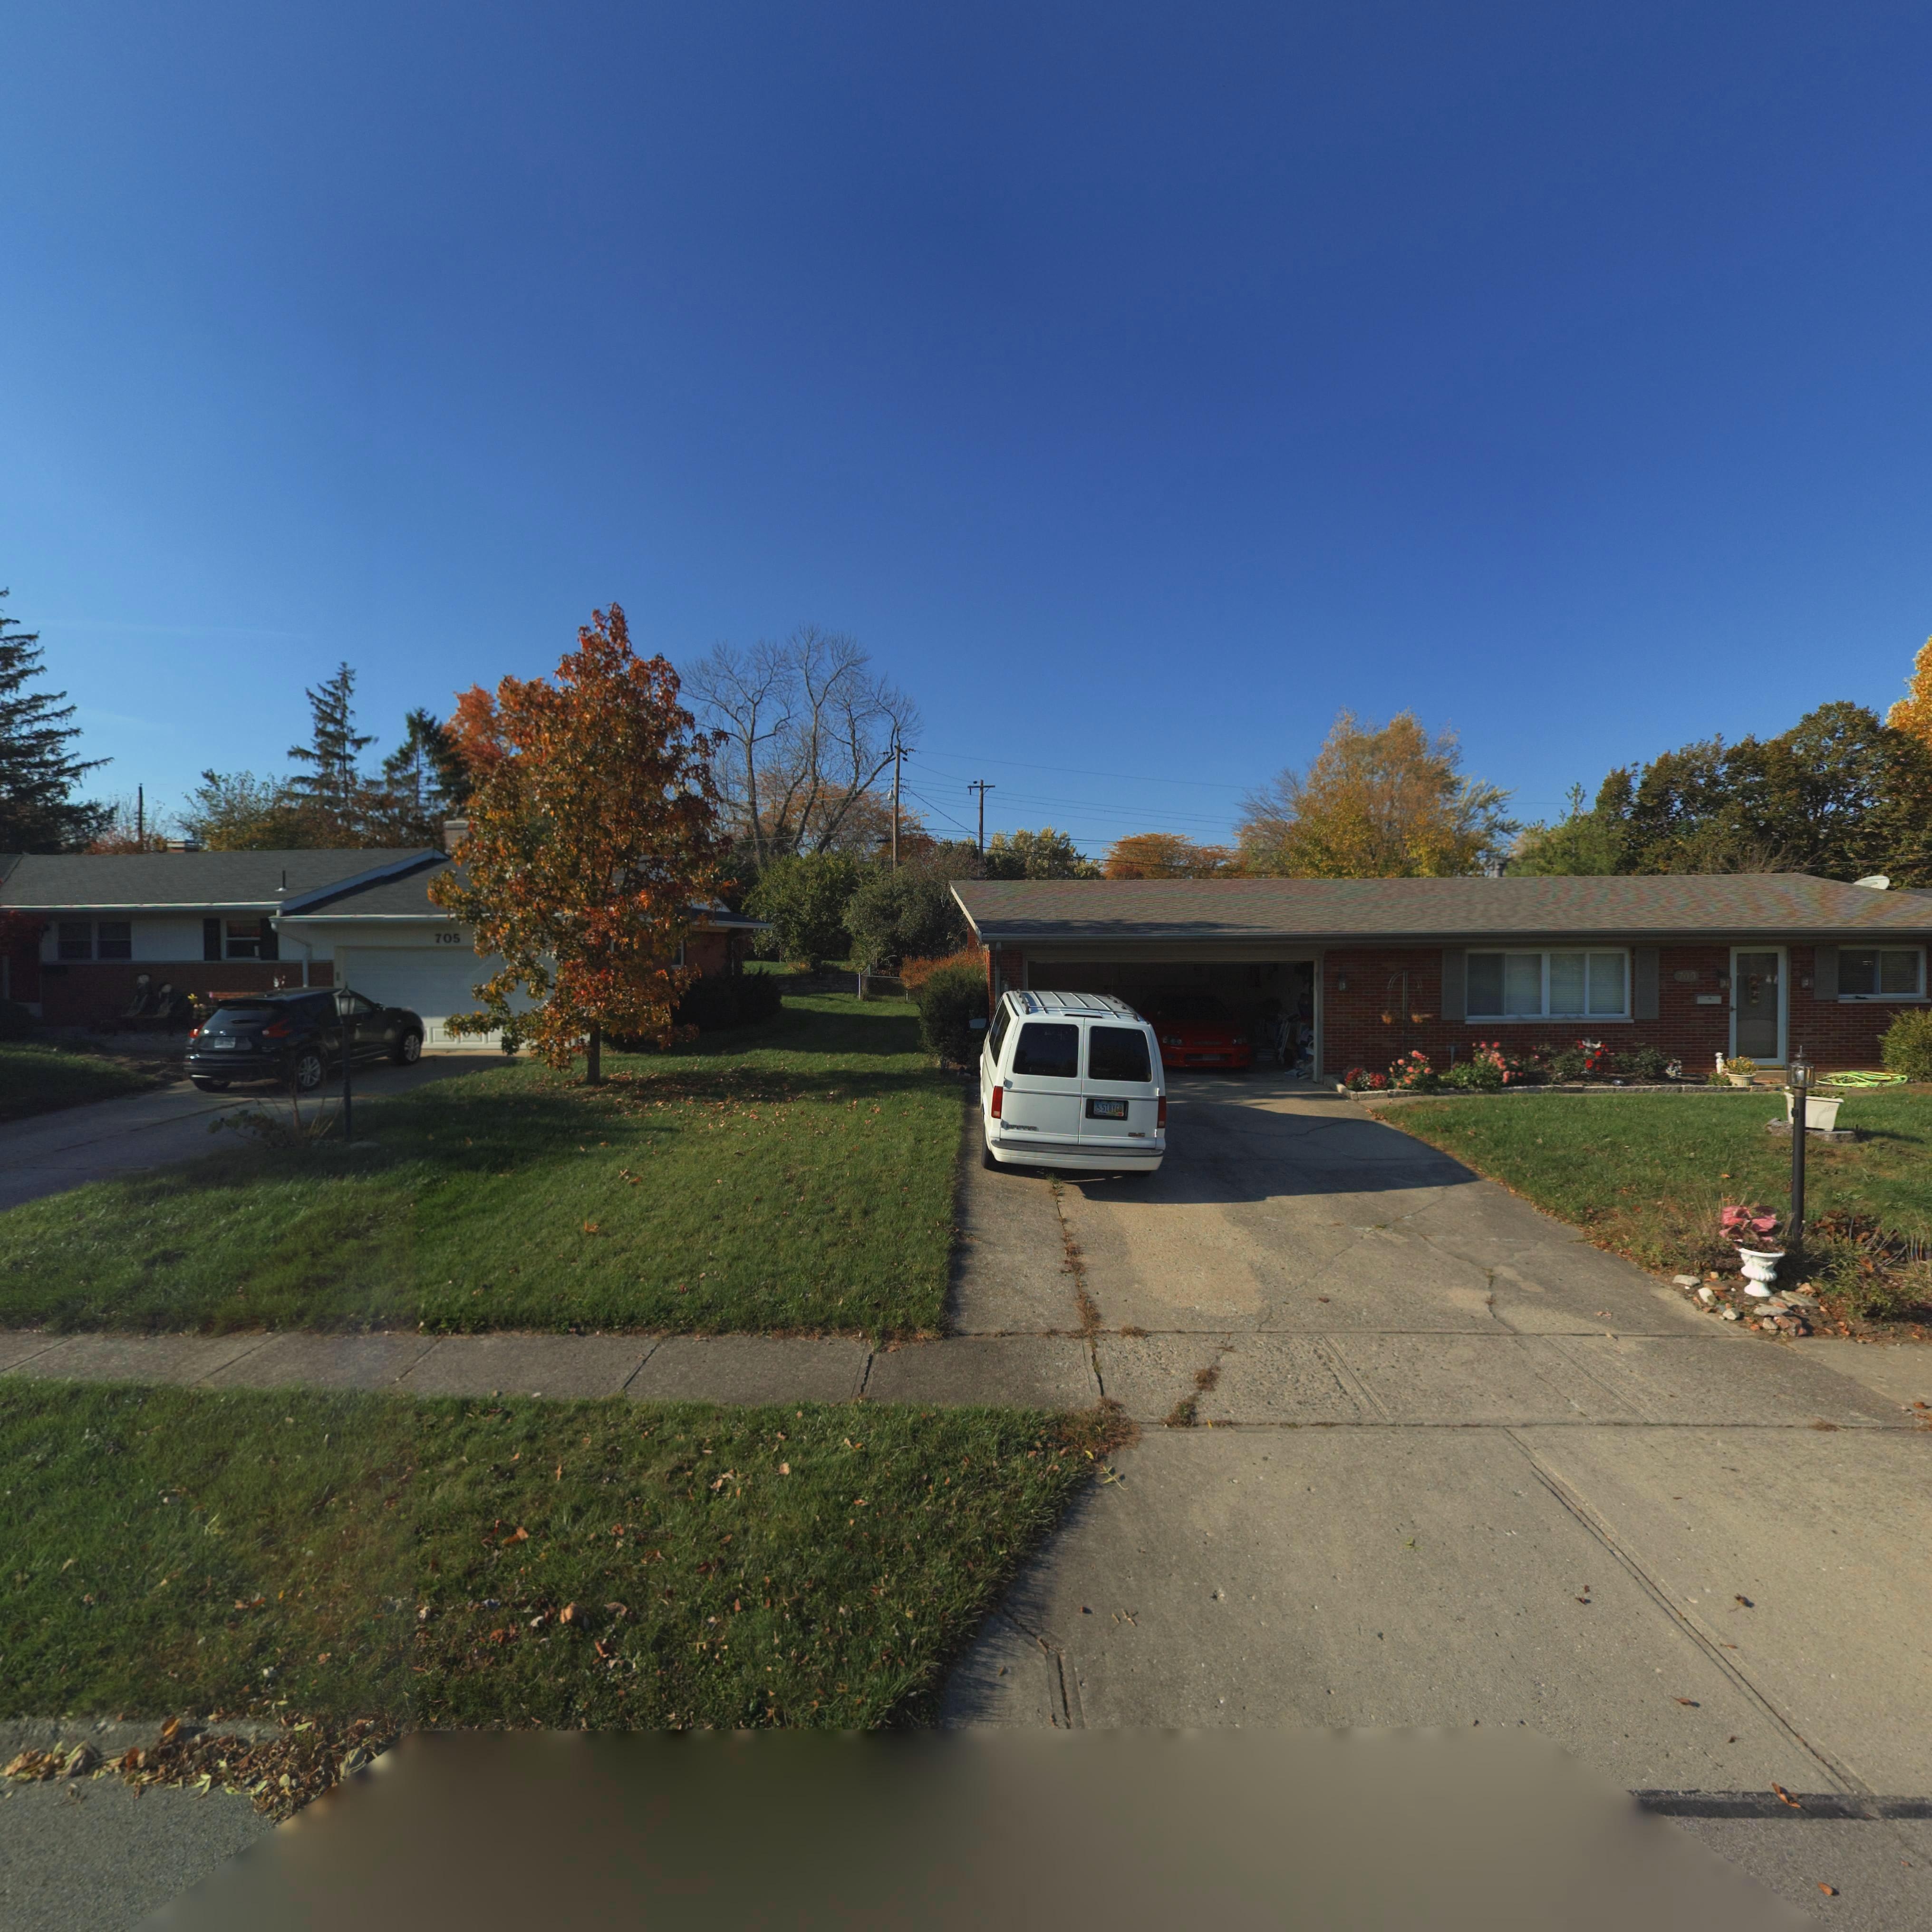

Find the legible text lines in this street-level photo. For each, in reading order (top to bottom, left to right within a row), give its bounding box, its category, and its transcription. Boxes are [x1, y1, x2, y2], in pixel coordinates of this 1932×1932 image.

[434, 932, 461, 945] StreetNumber: 705
[1676, 971, 1696, 982] StreetNumber: 709